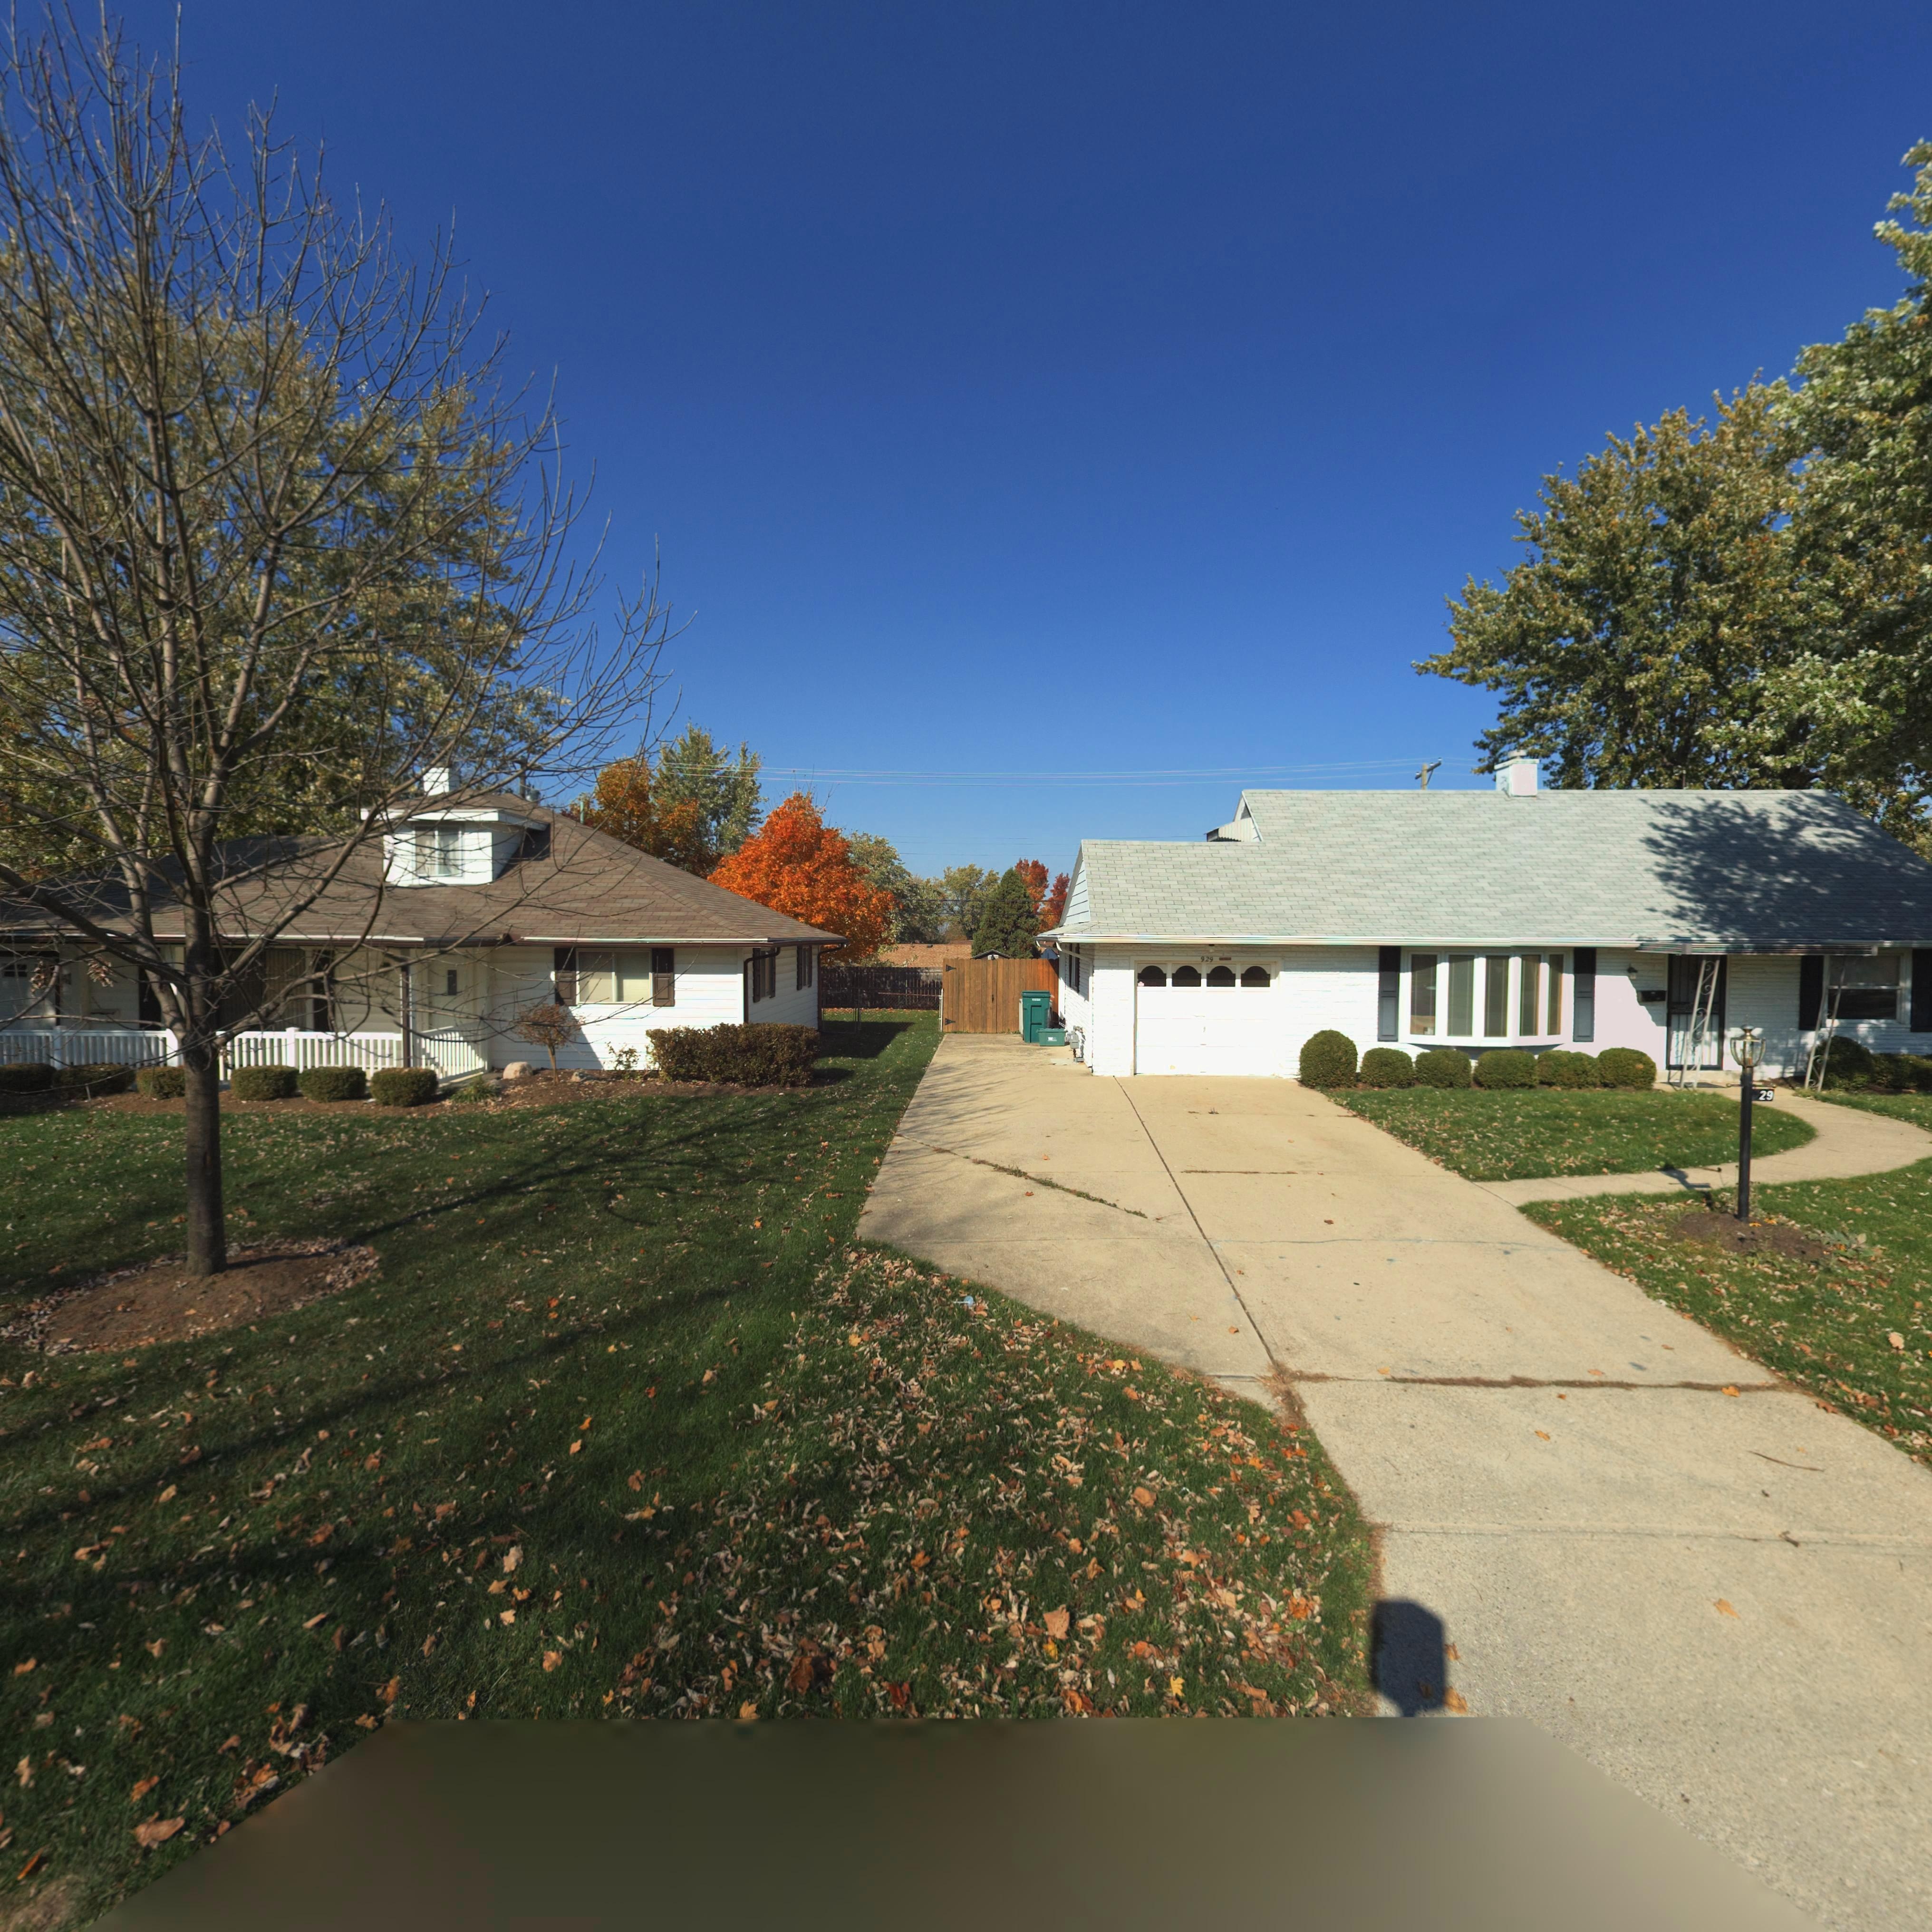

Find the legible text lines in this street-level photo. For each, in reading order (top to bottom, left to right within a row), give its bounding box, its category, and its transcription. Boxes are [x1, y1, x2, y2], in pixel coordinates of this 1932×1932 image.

[1200, 956, 1214, 963] StreetNumber: 929
[1758, 1090, 1774, 1101] StreetNumber: 29